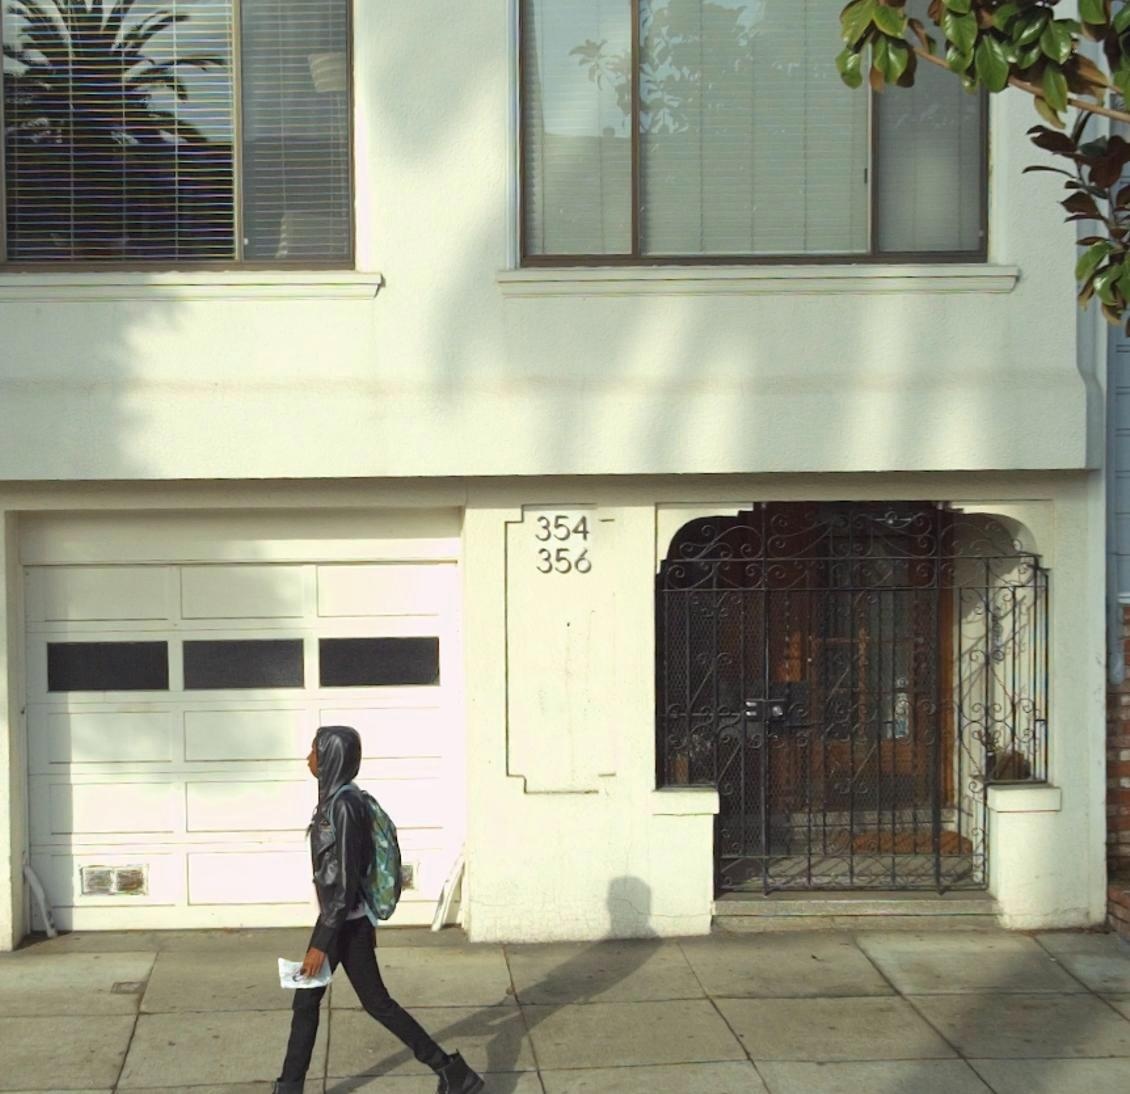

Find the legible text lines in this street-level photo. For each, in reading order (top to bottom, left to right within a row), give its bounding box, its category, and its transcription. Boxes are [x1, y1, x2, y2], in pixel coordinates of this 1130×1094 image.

[532, 514, 592, 543] StreetNumber: 354
[533, 543, 593, 574] StreetNumber: 356